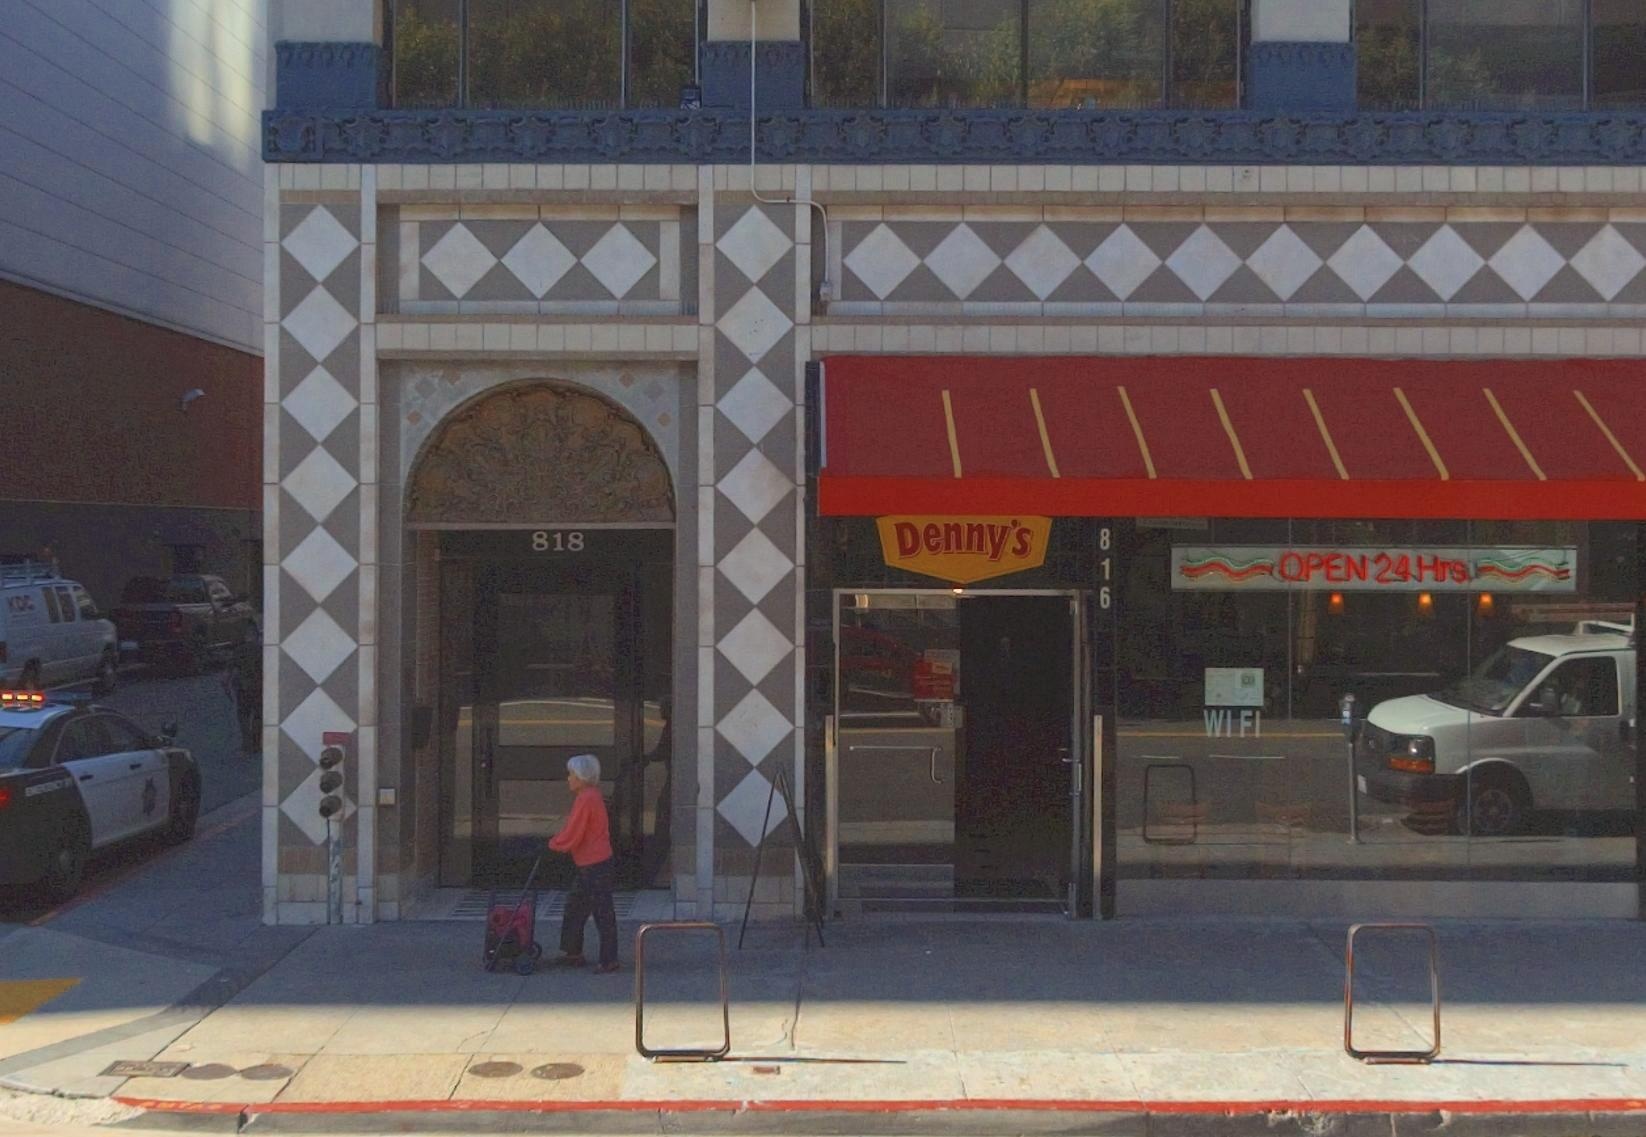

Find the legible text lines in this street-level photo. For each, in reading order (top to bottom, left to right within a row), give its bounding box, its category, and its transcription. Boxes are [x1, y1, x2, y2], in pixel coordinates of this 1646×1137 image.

[531, 530, 585, 552] StreetNumber: 818
[891, 518, 1036, 561] BusinessName: Denny's
[1098, 526, 1113, 611] StreetNumber: 816
[1277, 552, 1468, 585] None: OPEN 24 Hrs
[1201, 708, 1261, 740] None: WIFI